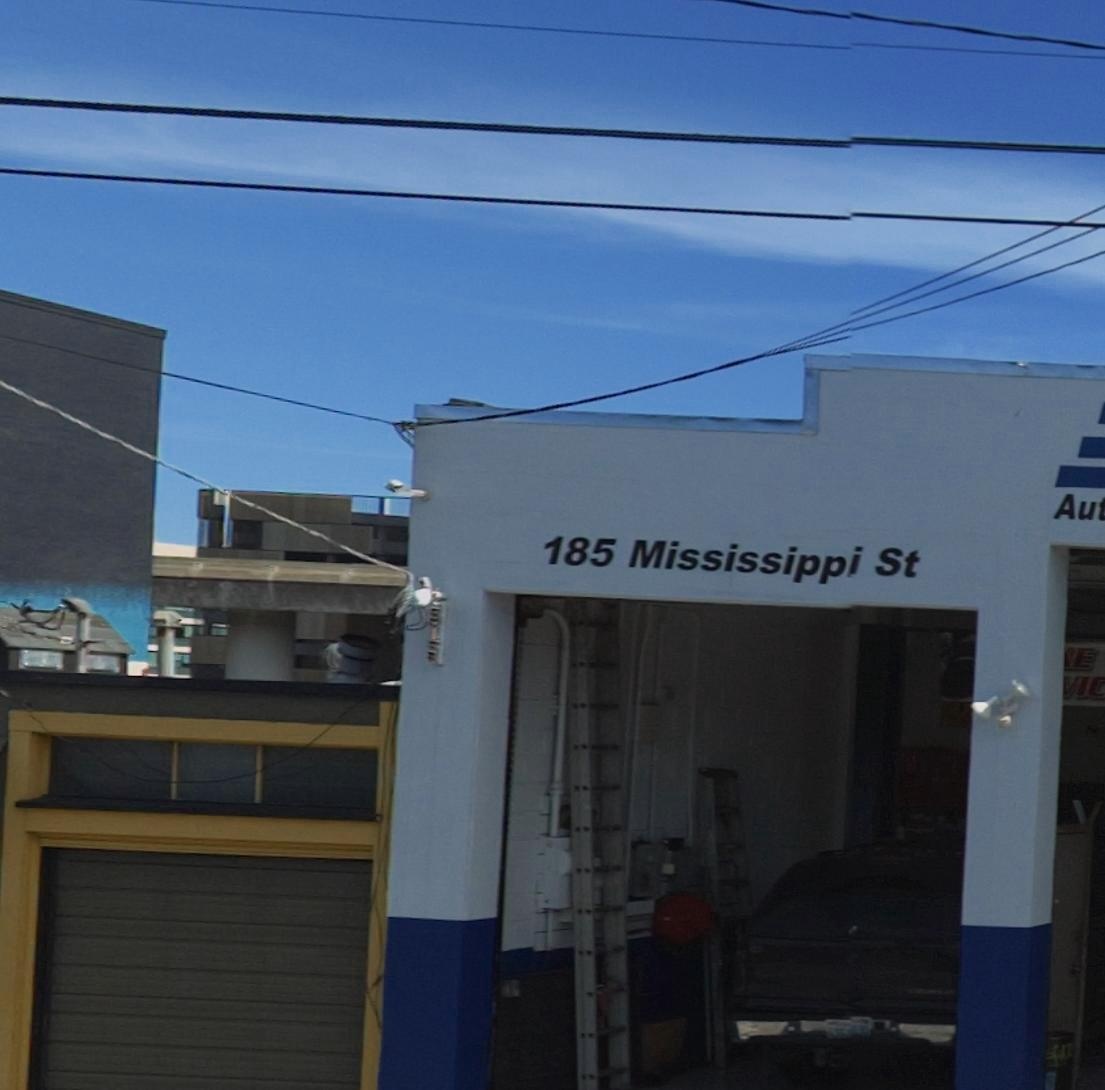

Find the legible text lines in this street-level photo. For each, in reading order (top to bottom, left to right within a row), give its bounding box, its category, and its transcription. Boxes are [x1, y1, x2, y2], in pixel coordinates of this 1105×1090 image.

[1049, 493, 1098, 521] None: Au
[543, 534, 619, 568] StreetNumber: 185
[625, 536, 923, 586] StreetName: Mississippi St